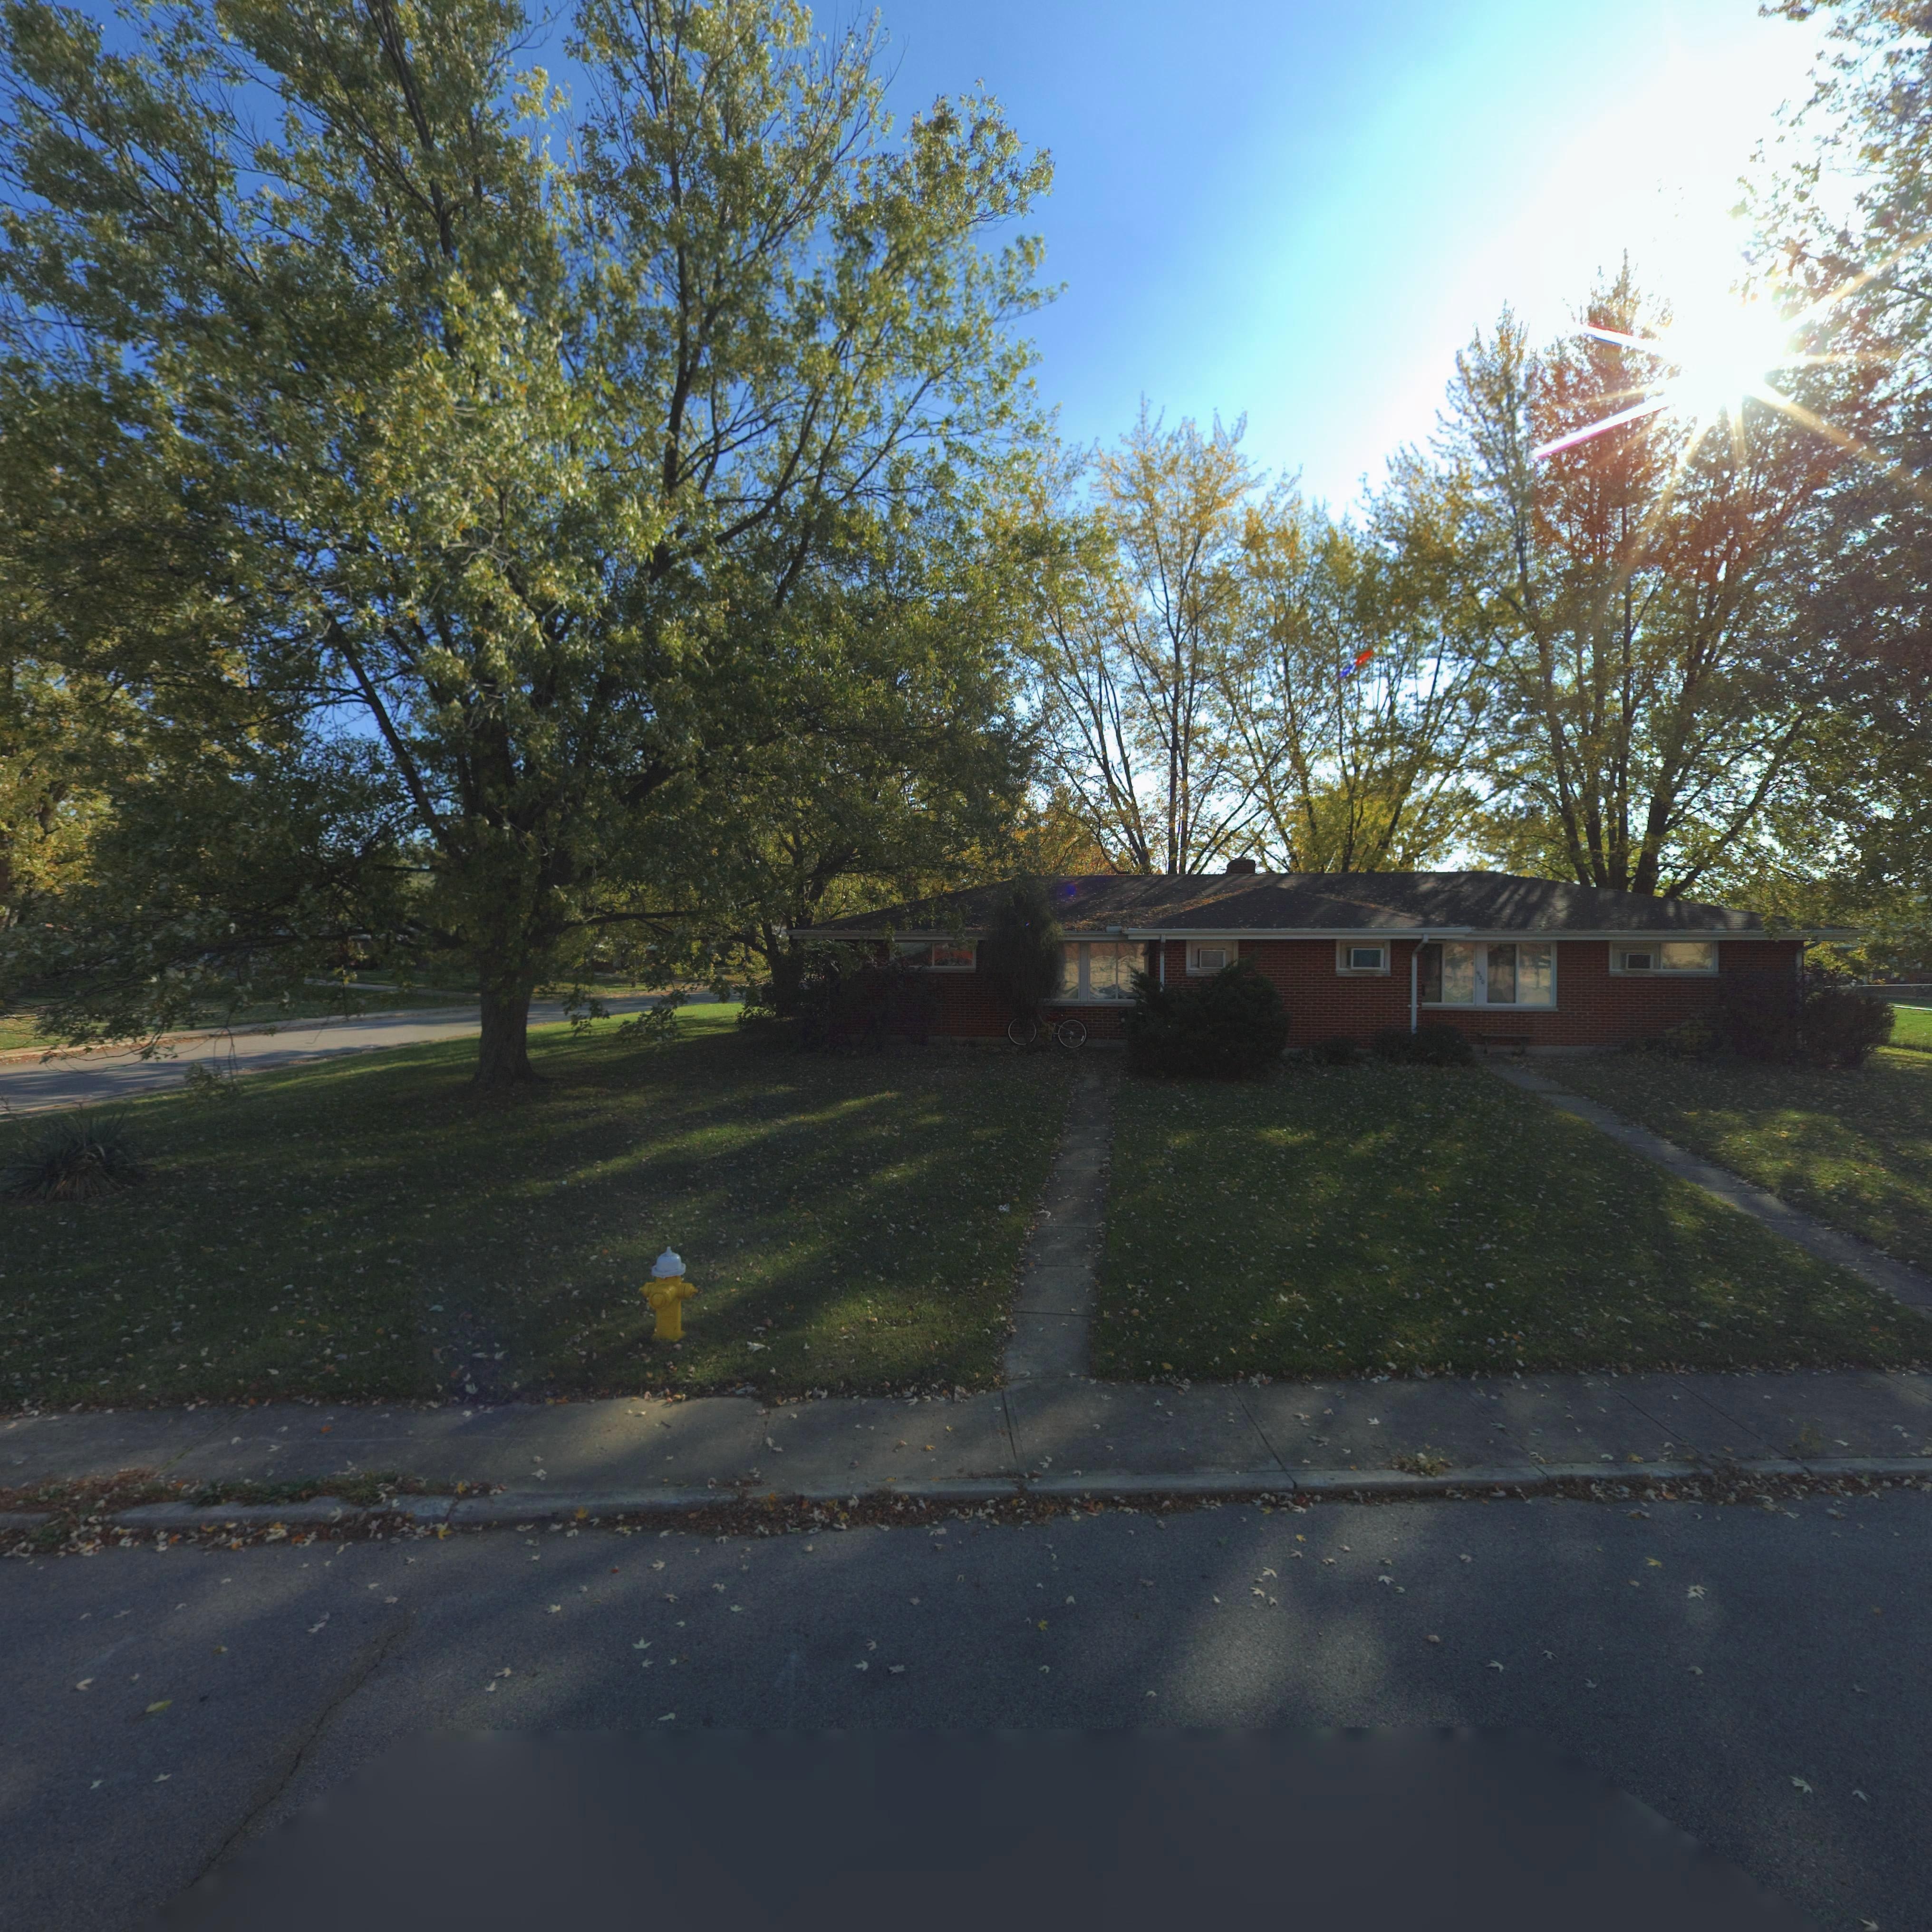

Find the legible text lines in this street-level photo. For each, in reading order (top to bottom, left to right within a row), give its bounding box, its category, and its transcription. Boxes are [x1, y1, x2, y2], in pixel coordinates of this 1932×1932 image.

[1475, 969, 1486, 985] StreetNumber: 9*0